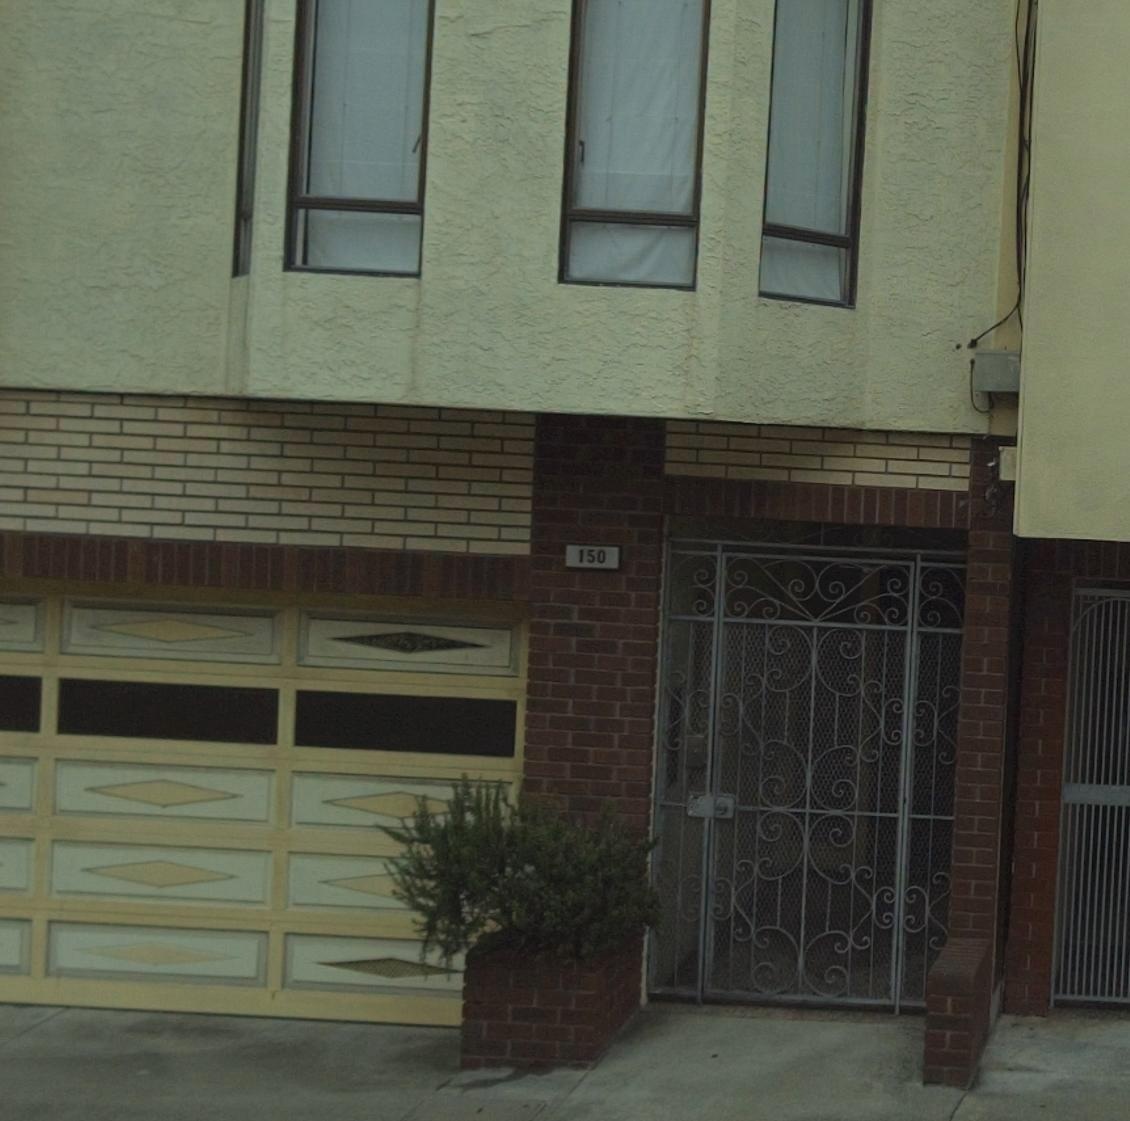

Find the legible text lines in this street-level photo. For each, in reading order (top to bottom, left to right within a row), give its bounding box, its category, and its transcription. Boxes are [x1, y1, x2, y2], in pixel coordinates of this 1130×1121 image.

[577, 547, 607, 566] StreetNumber: 150